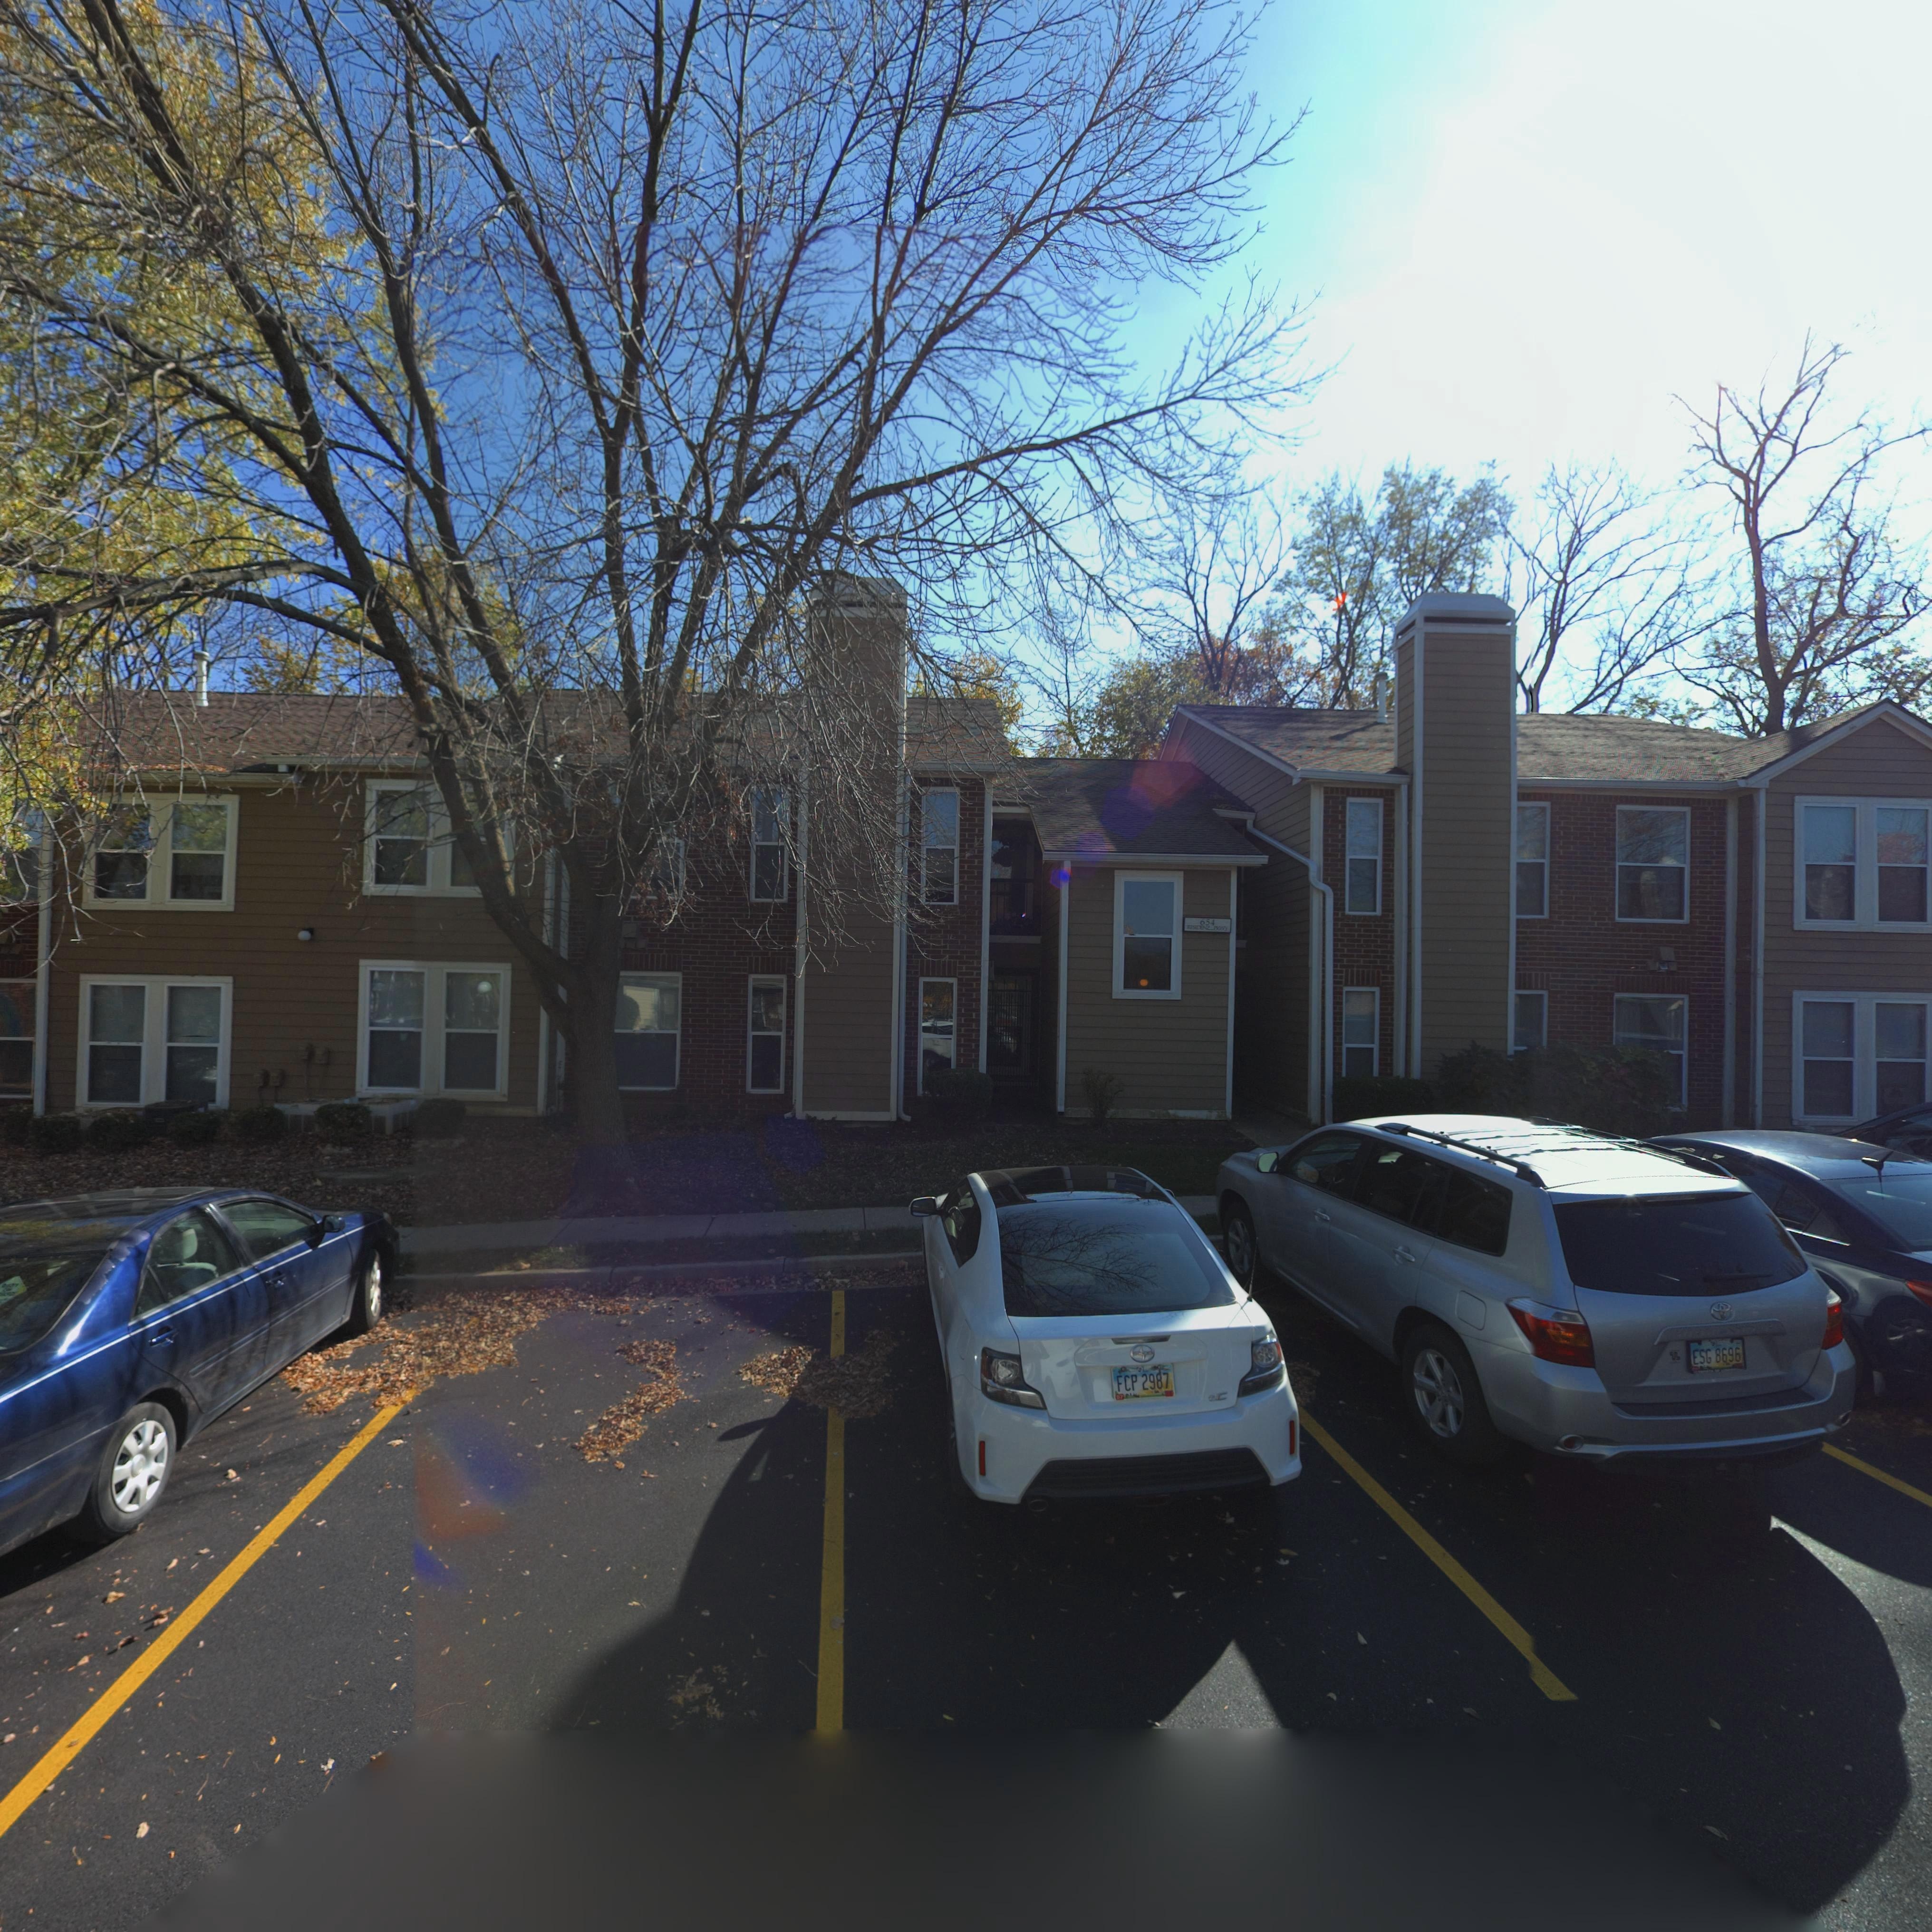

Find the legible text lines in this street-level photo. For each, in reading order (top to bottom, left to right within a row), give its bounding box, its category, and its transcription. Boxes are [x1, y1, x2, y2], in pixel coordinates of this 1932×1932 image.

[1199, 918, 1216, 927] StreetNumber: 654
[1691, 1346, 1742, 1366] None: ESG 8696
[1115, 1371, 1170, 1393] None: FCP 2987